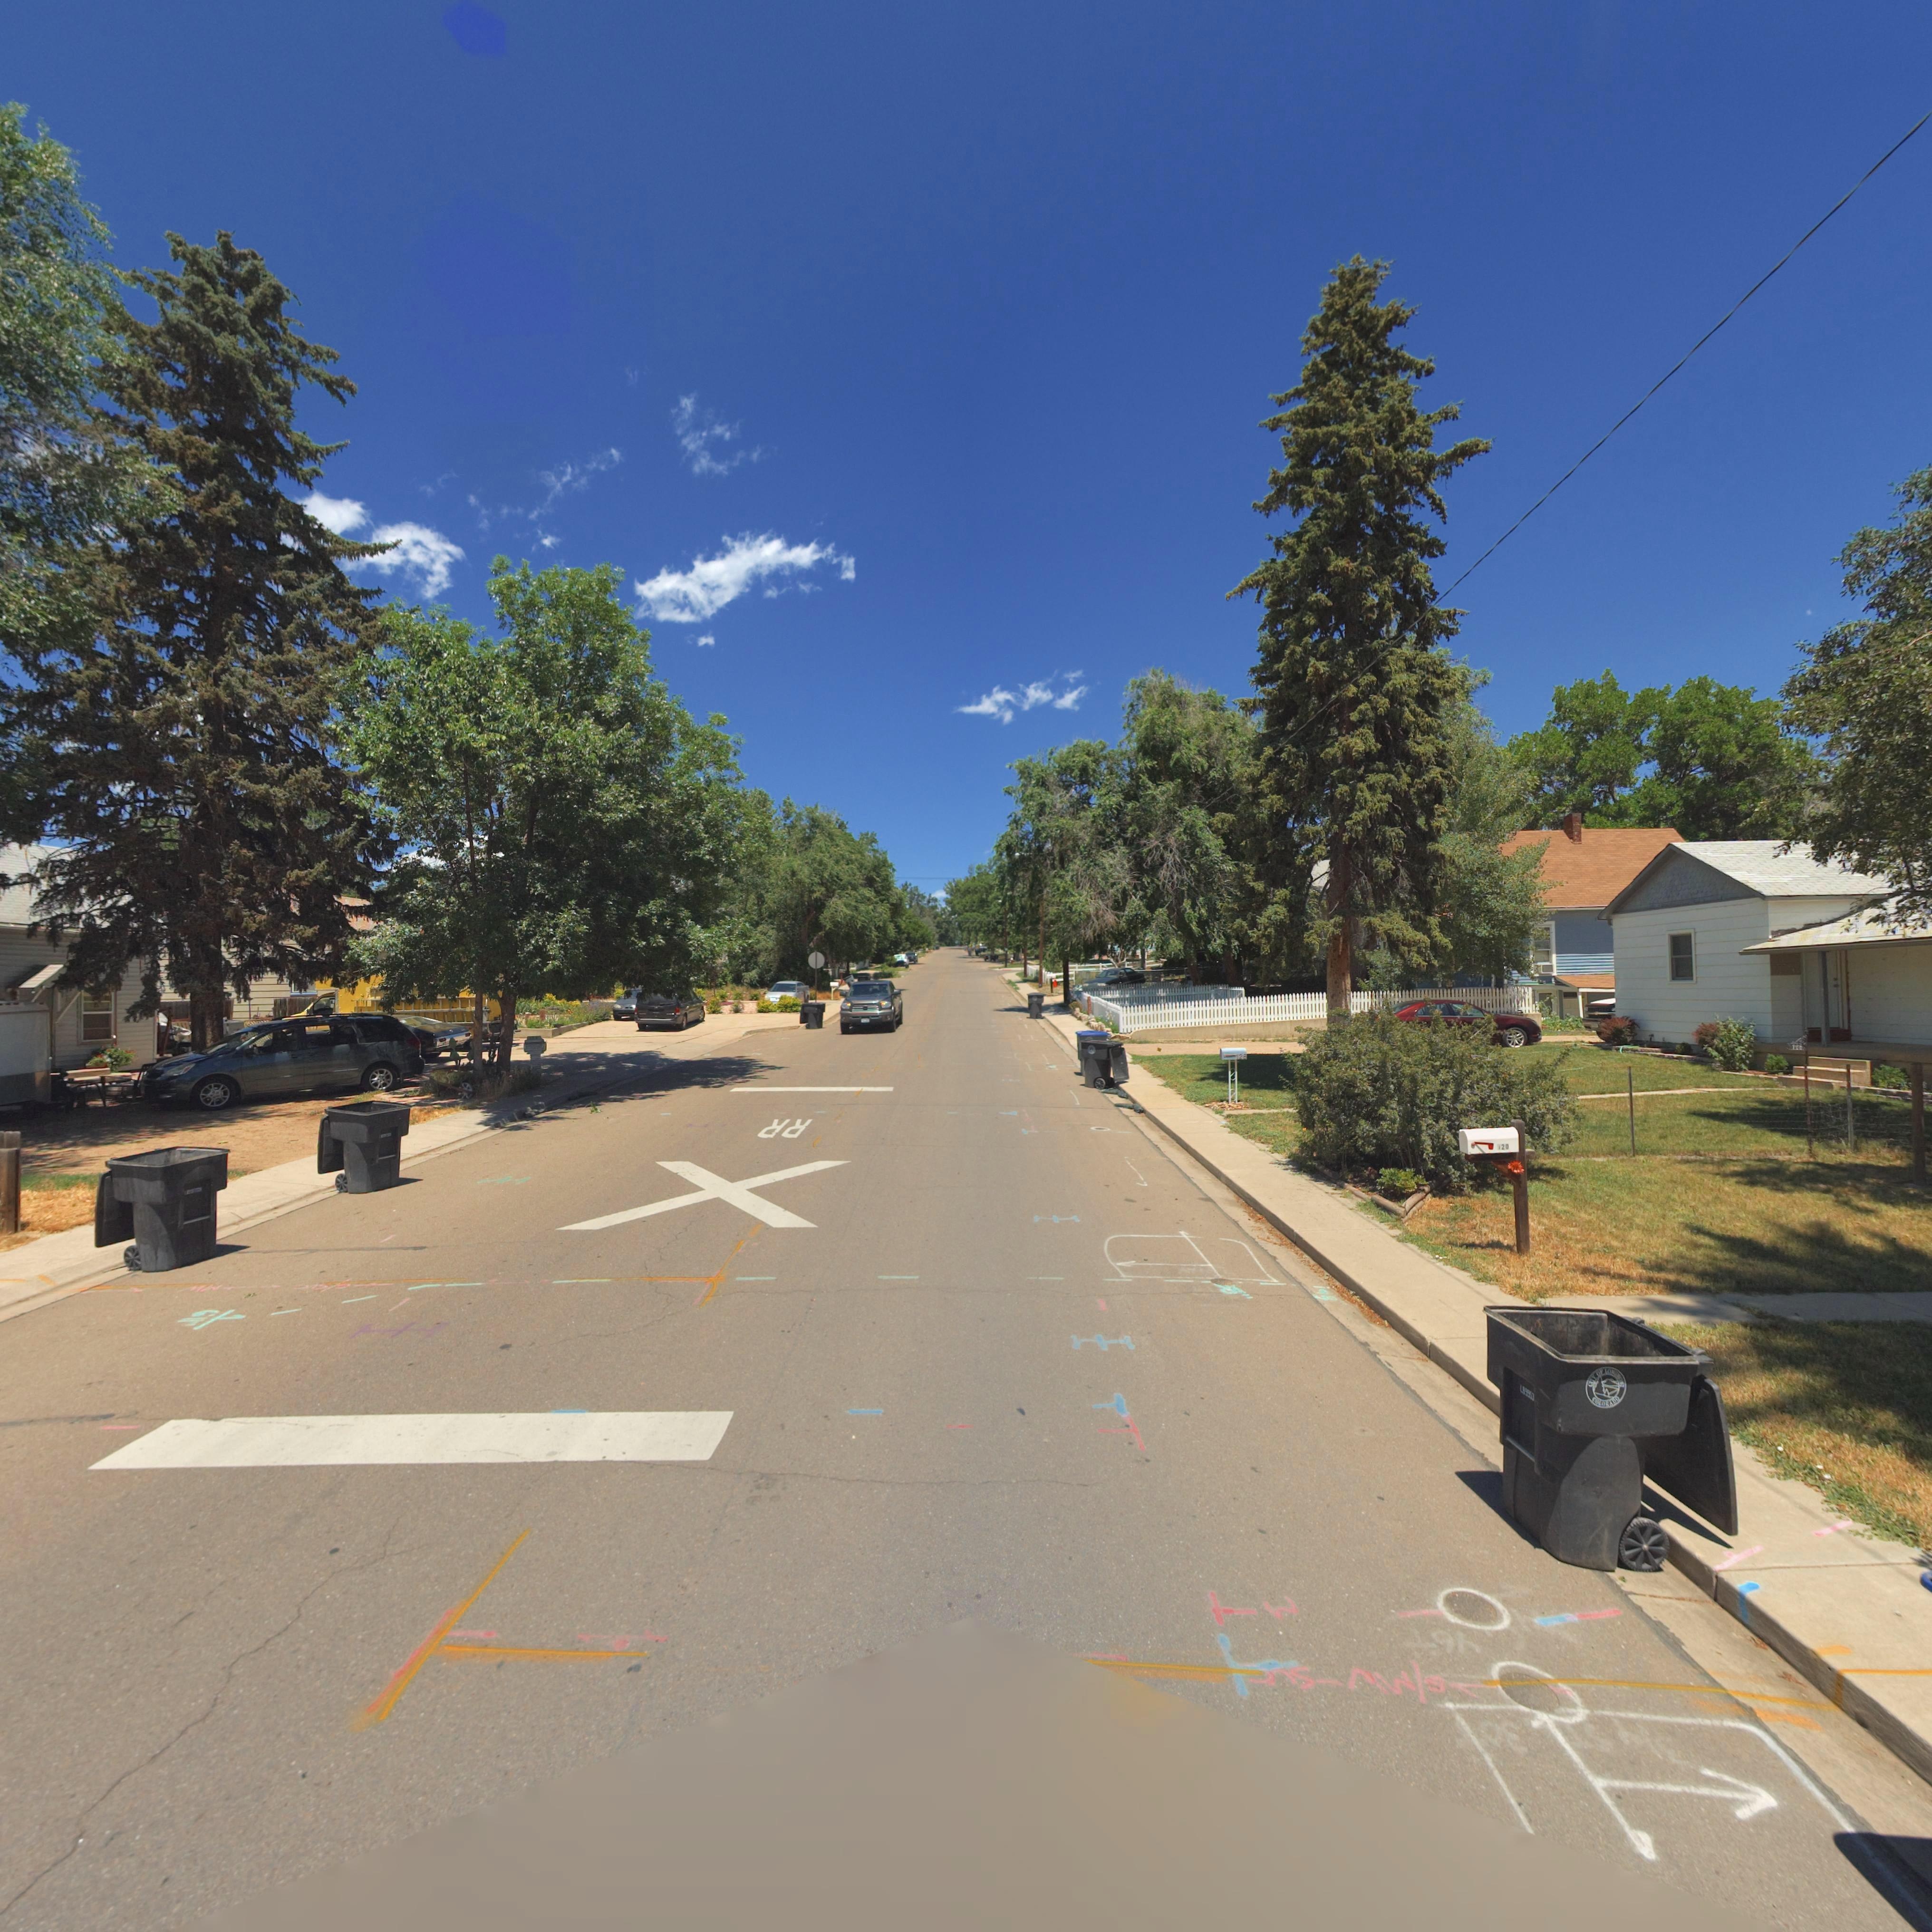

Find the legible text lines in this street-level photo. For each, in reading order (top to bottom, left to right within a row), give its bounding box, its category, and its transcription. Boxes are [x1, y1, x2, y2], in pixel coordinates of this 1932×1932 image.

[1236, 1053, 1247, 1060] StreetNumber: 128
[1498, 1143, 1509, 1150] StreetNumber: 120